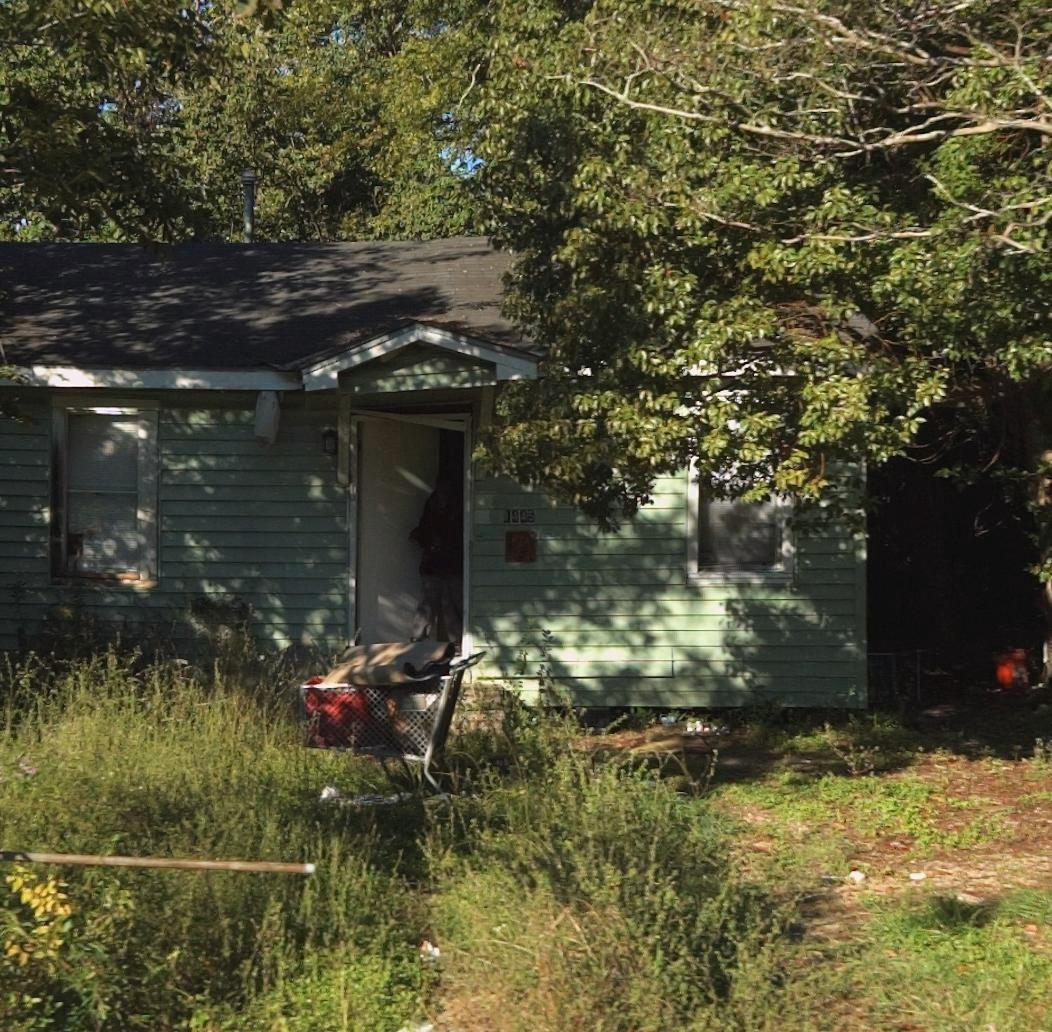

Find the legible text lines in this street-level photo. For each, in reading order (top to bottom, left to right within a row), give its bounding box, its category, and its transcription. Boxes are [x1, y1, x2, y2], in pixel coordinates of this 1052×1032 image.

[503, 508, 535, 524] StreetNumber: 1445